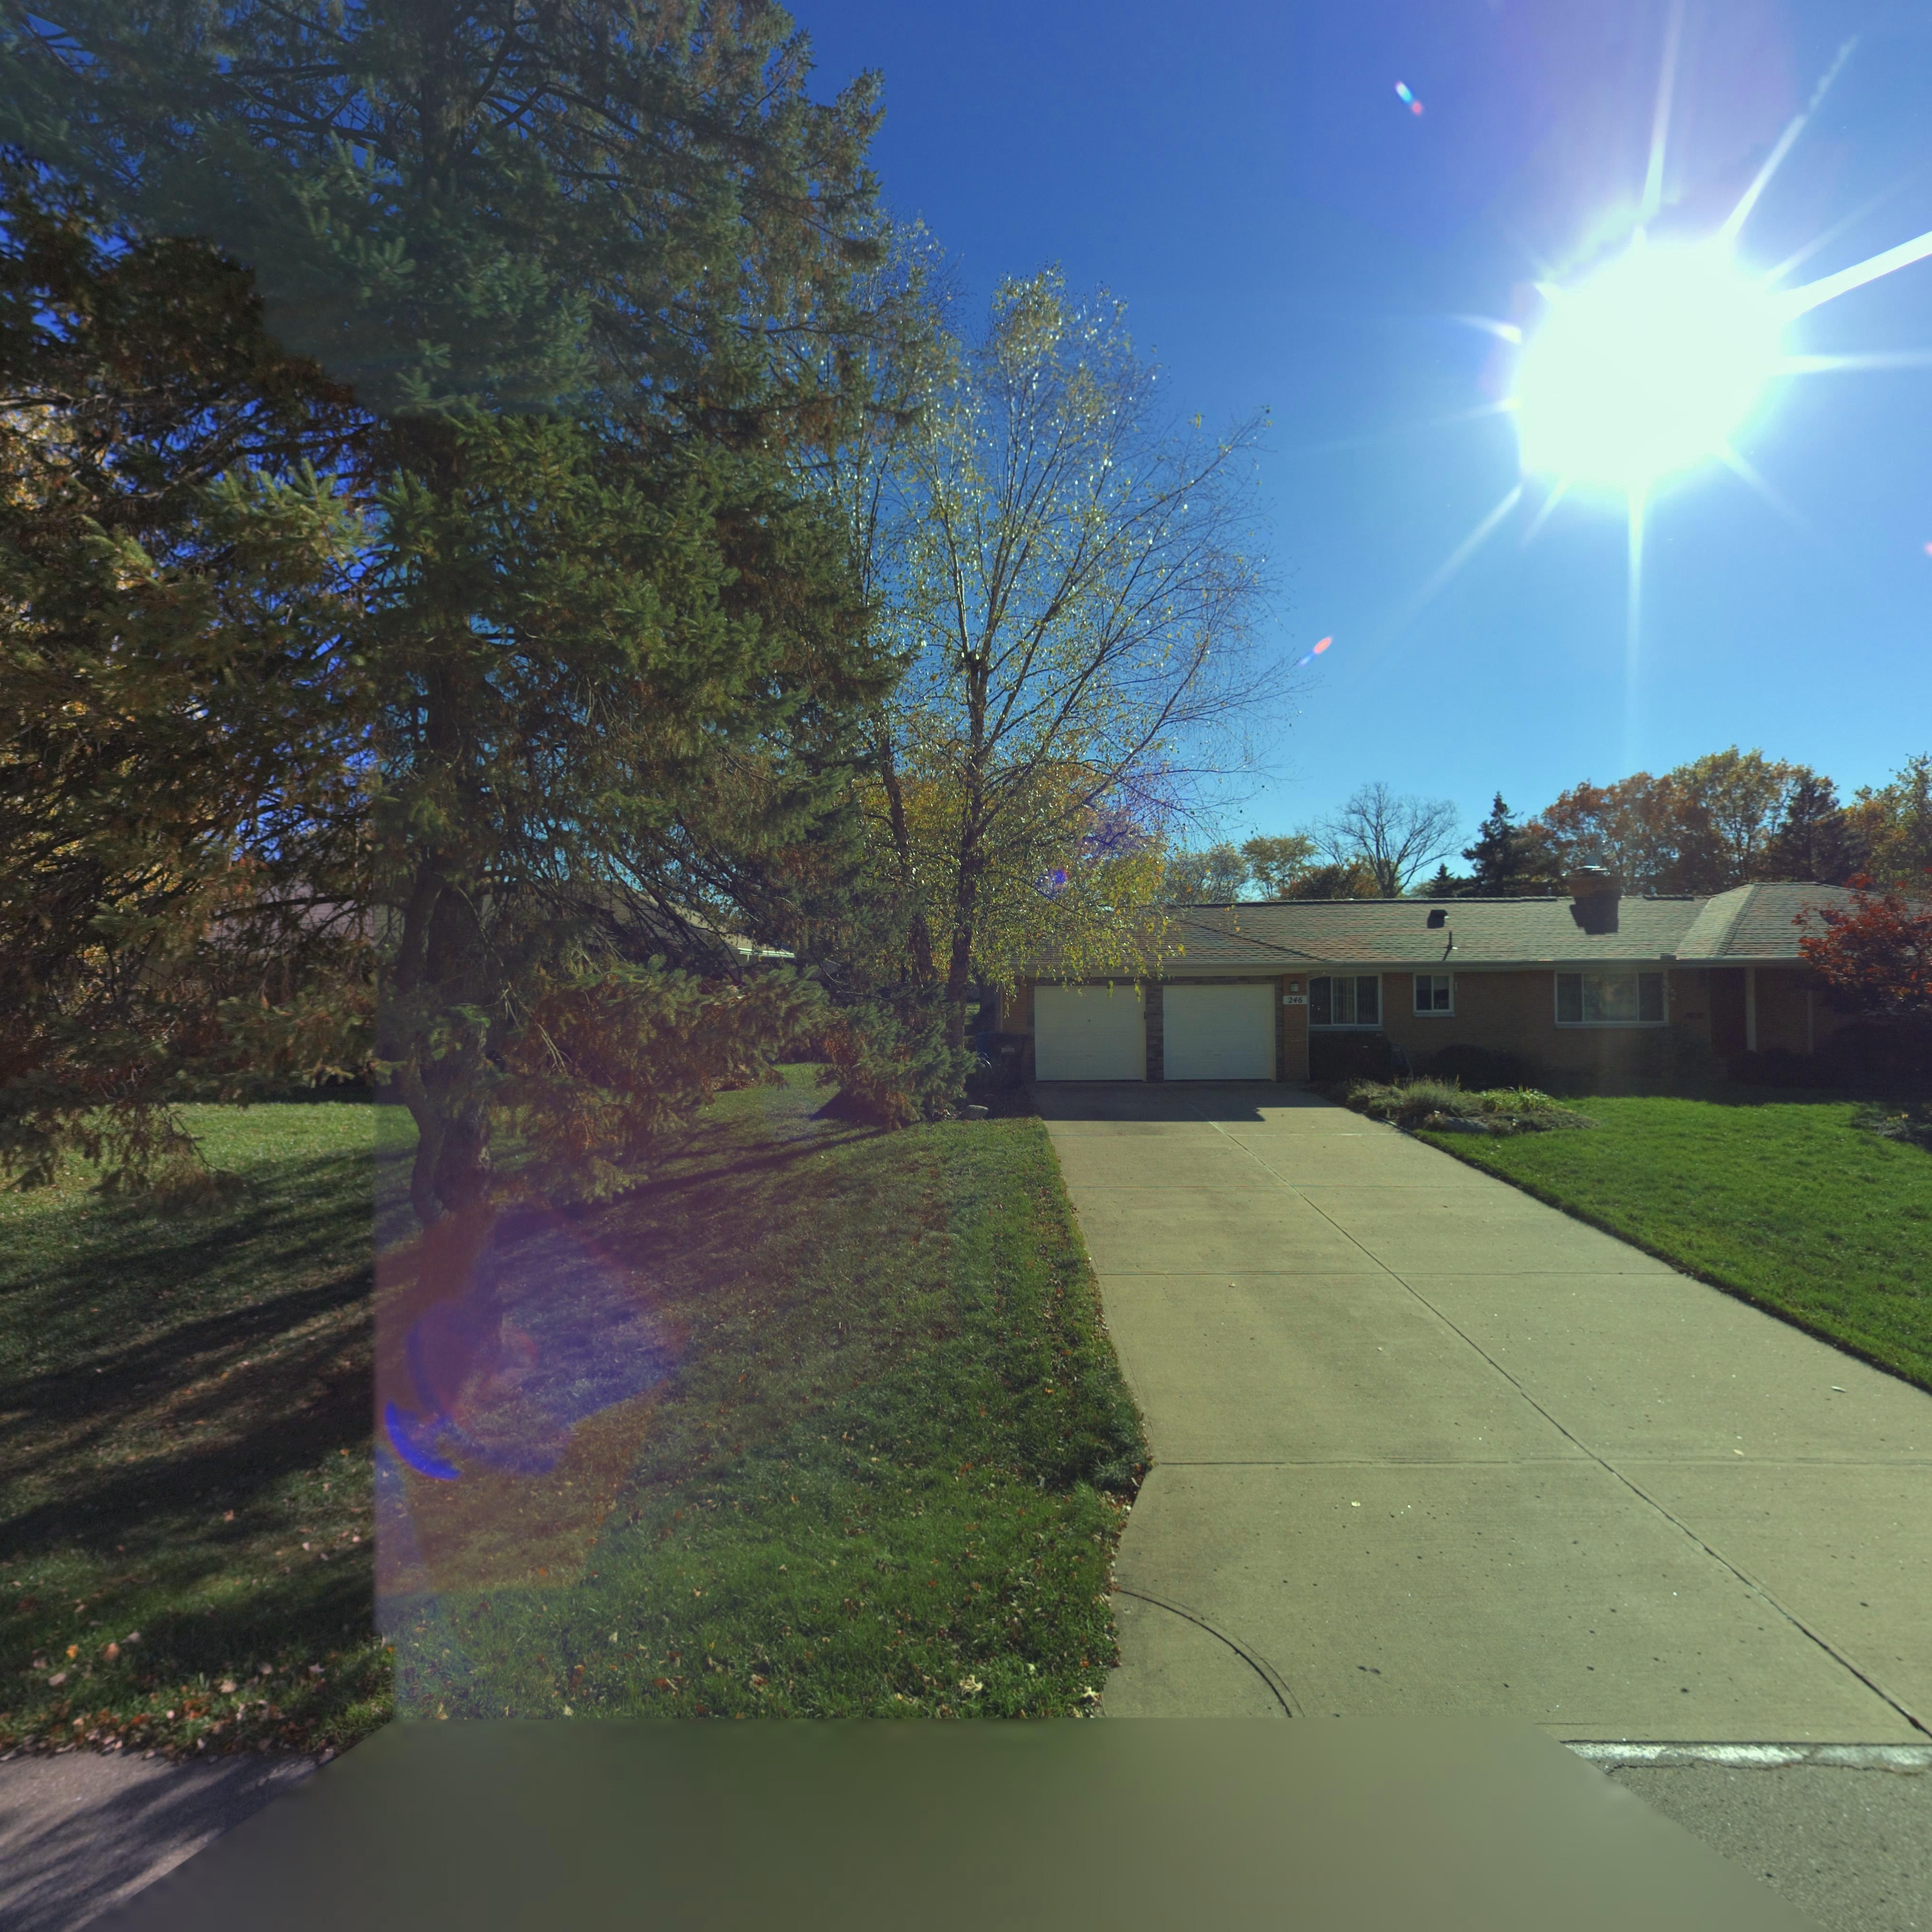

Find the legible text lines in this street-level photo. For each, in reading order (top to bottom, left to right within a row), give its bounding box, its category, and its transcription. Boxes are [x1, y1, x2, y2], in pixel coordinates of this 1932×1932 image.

[1287, 996, 1304, 1004] StreetNumber: 246